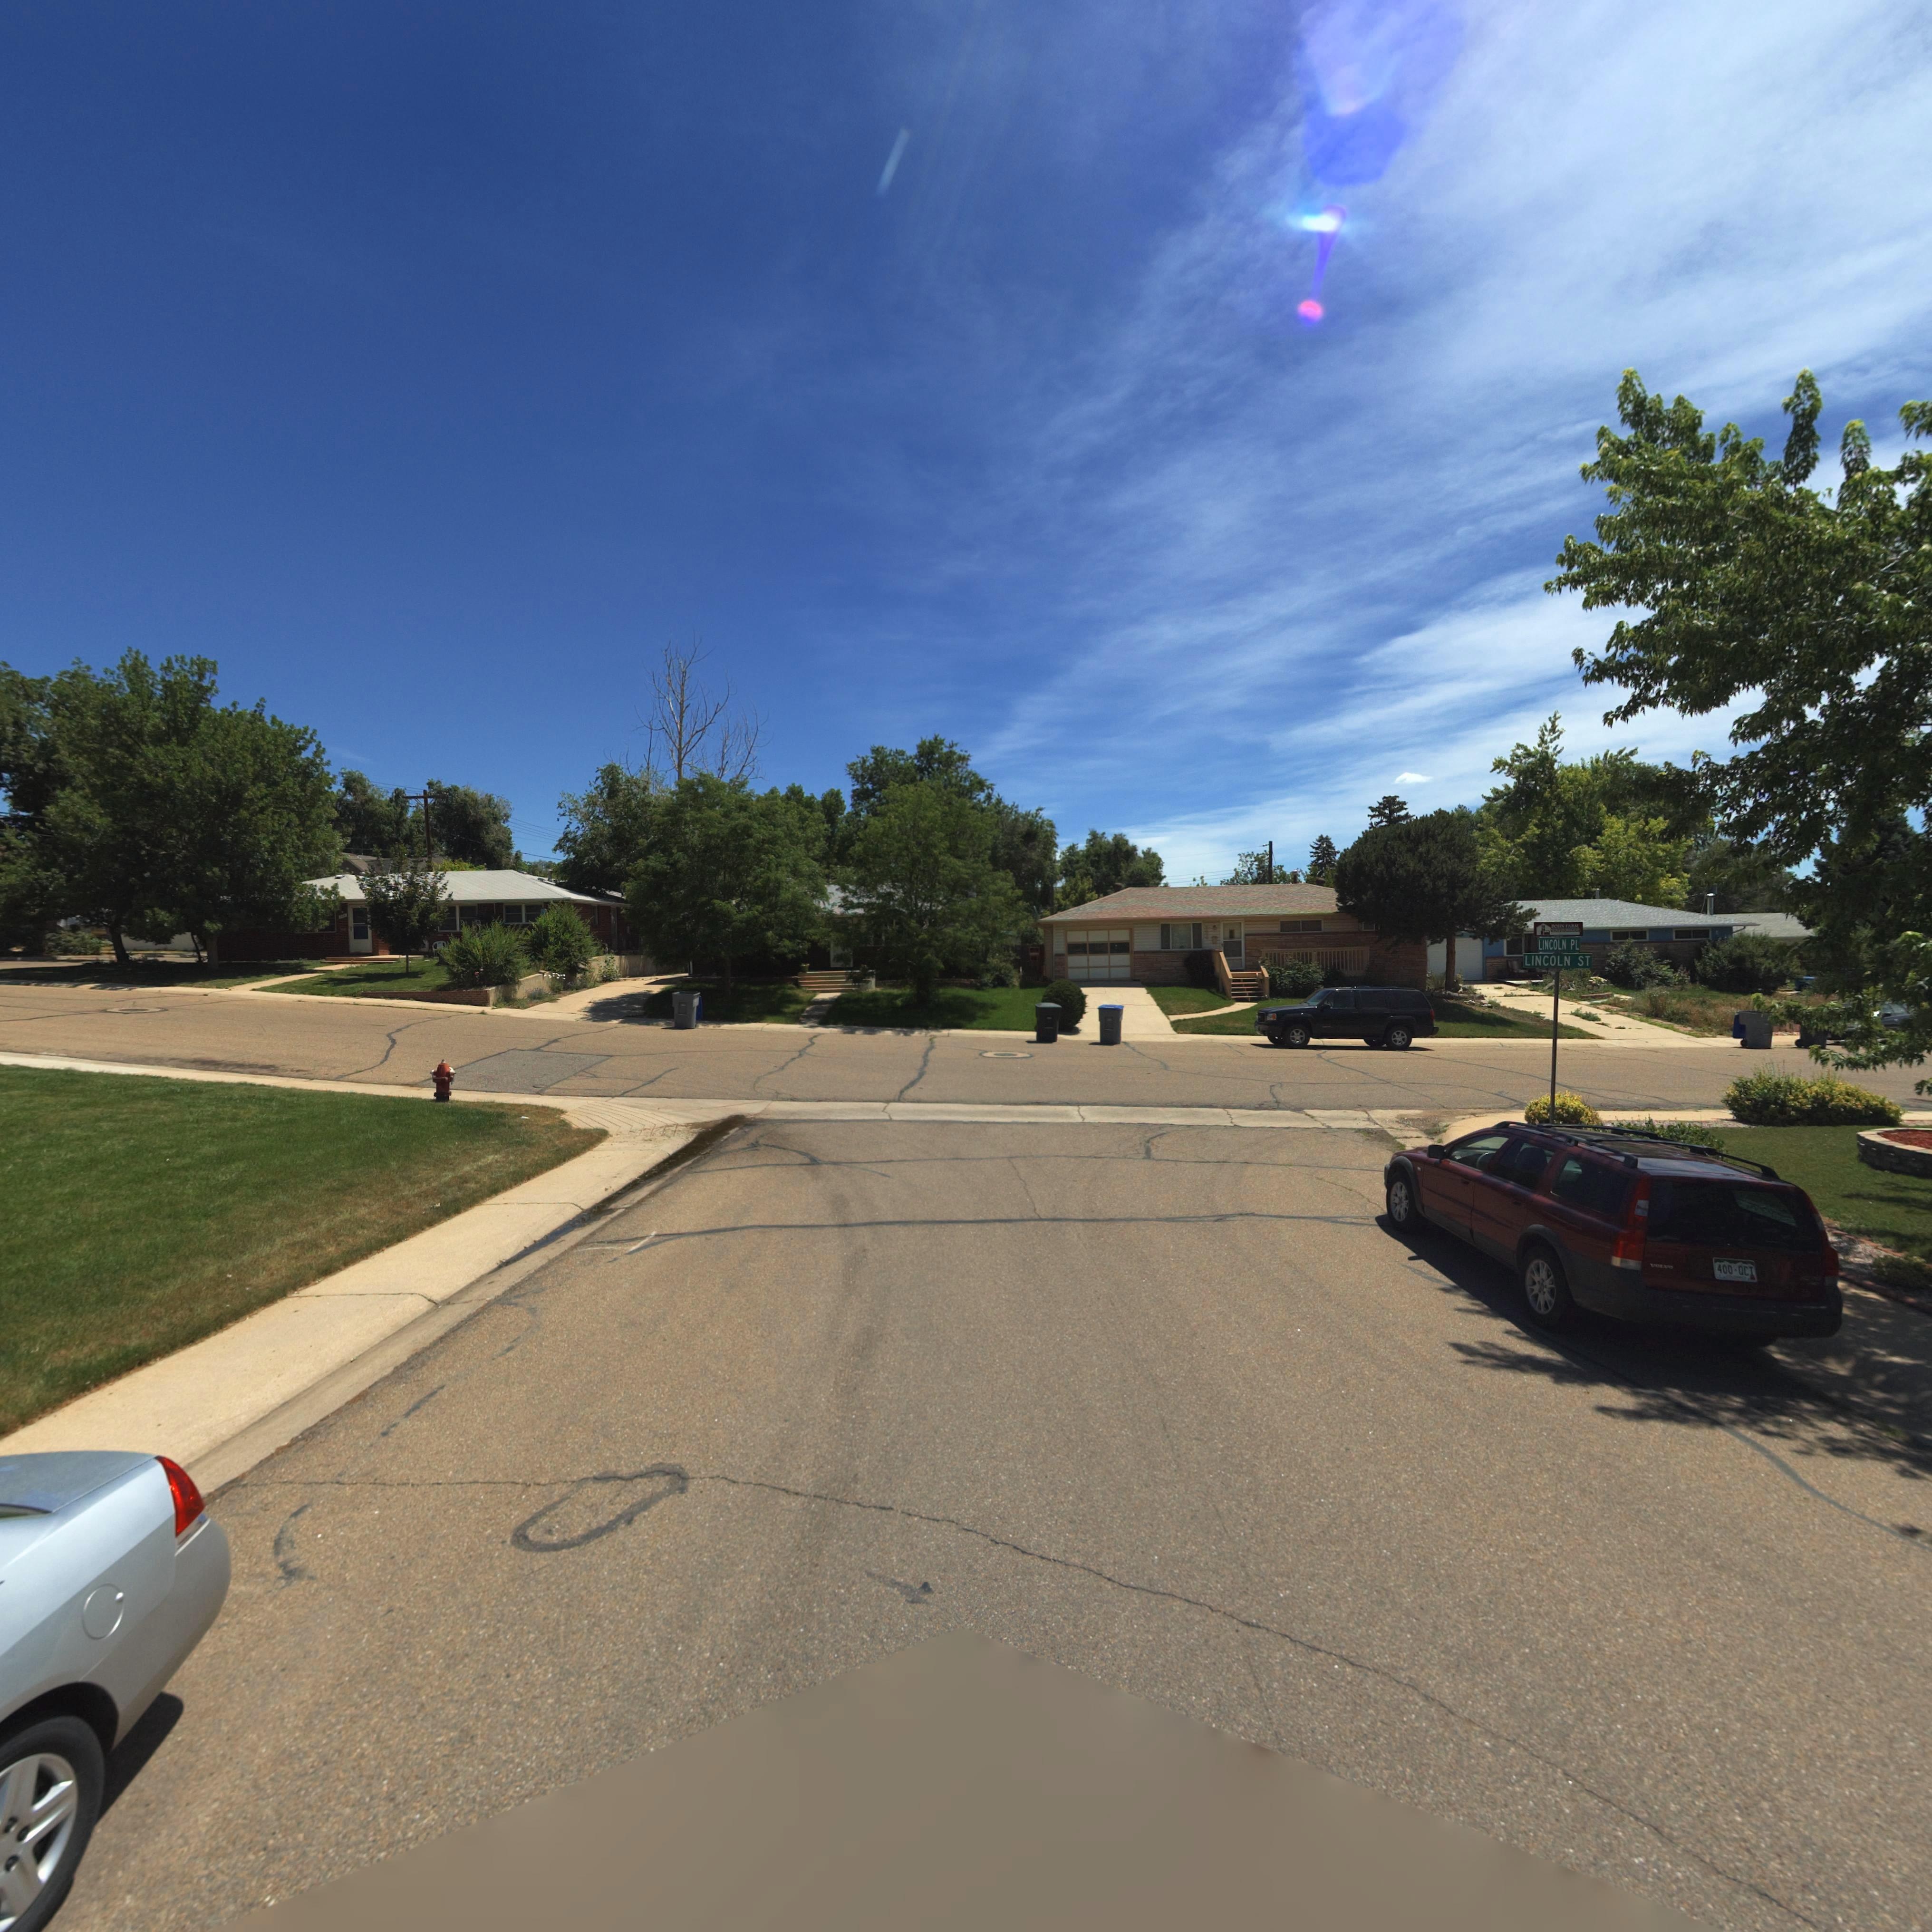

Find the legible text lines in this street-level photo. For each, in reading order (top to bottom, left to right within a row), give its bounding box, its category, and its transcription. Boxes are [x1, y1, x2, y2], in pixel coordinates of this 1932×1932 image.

[1539, 939, 1579, 950] StreetName: LINCOLN PL
[1524, 955, 1590, 966] StreetName: LINCOLN ST